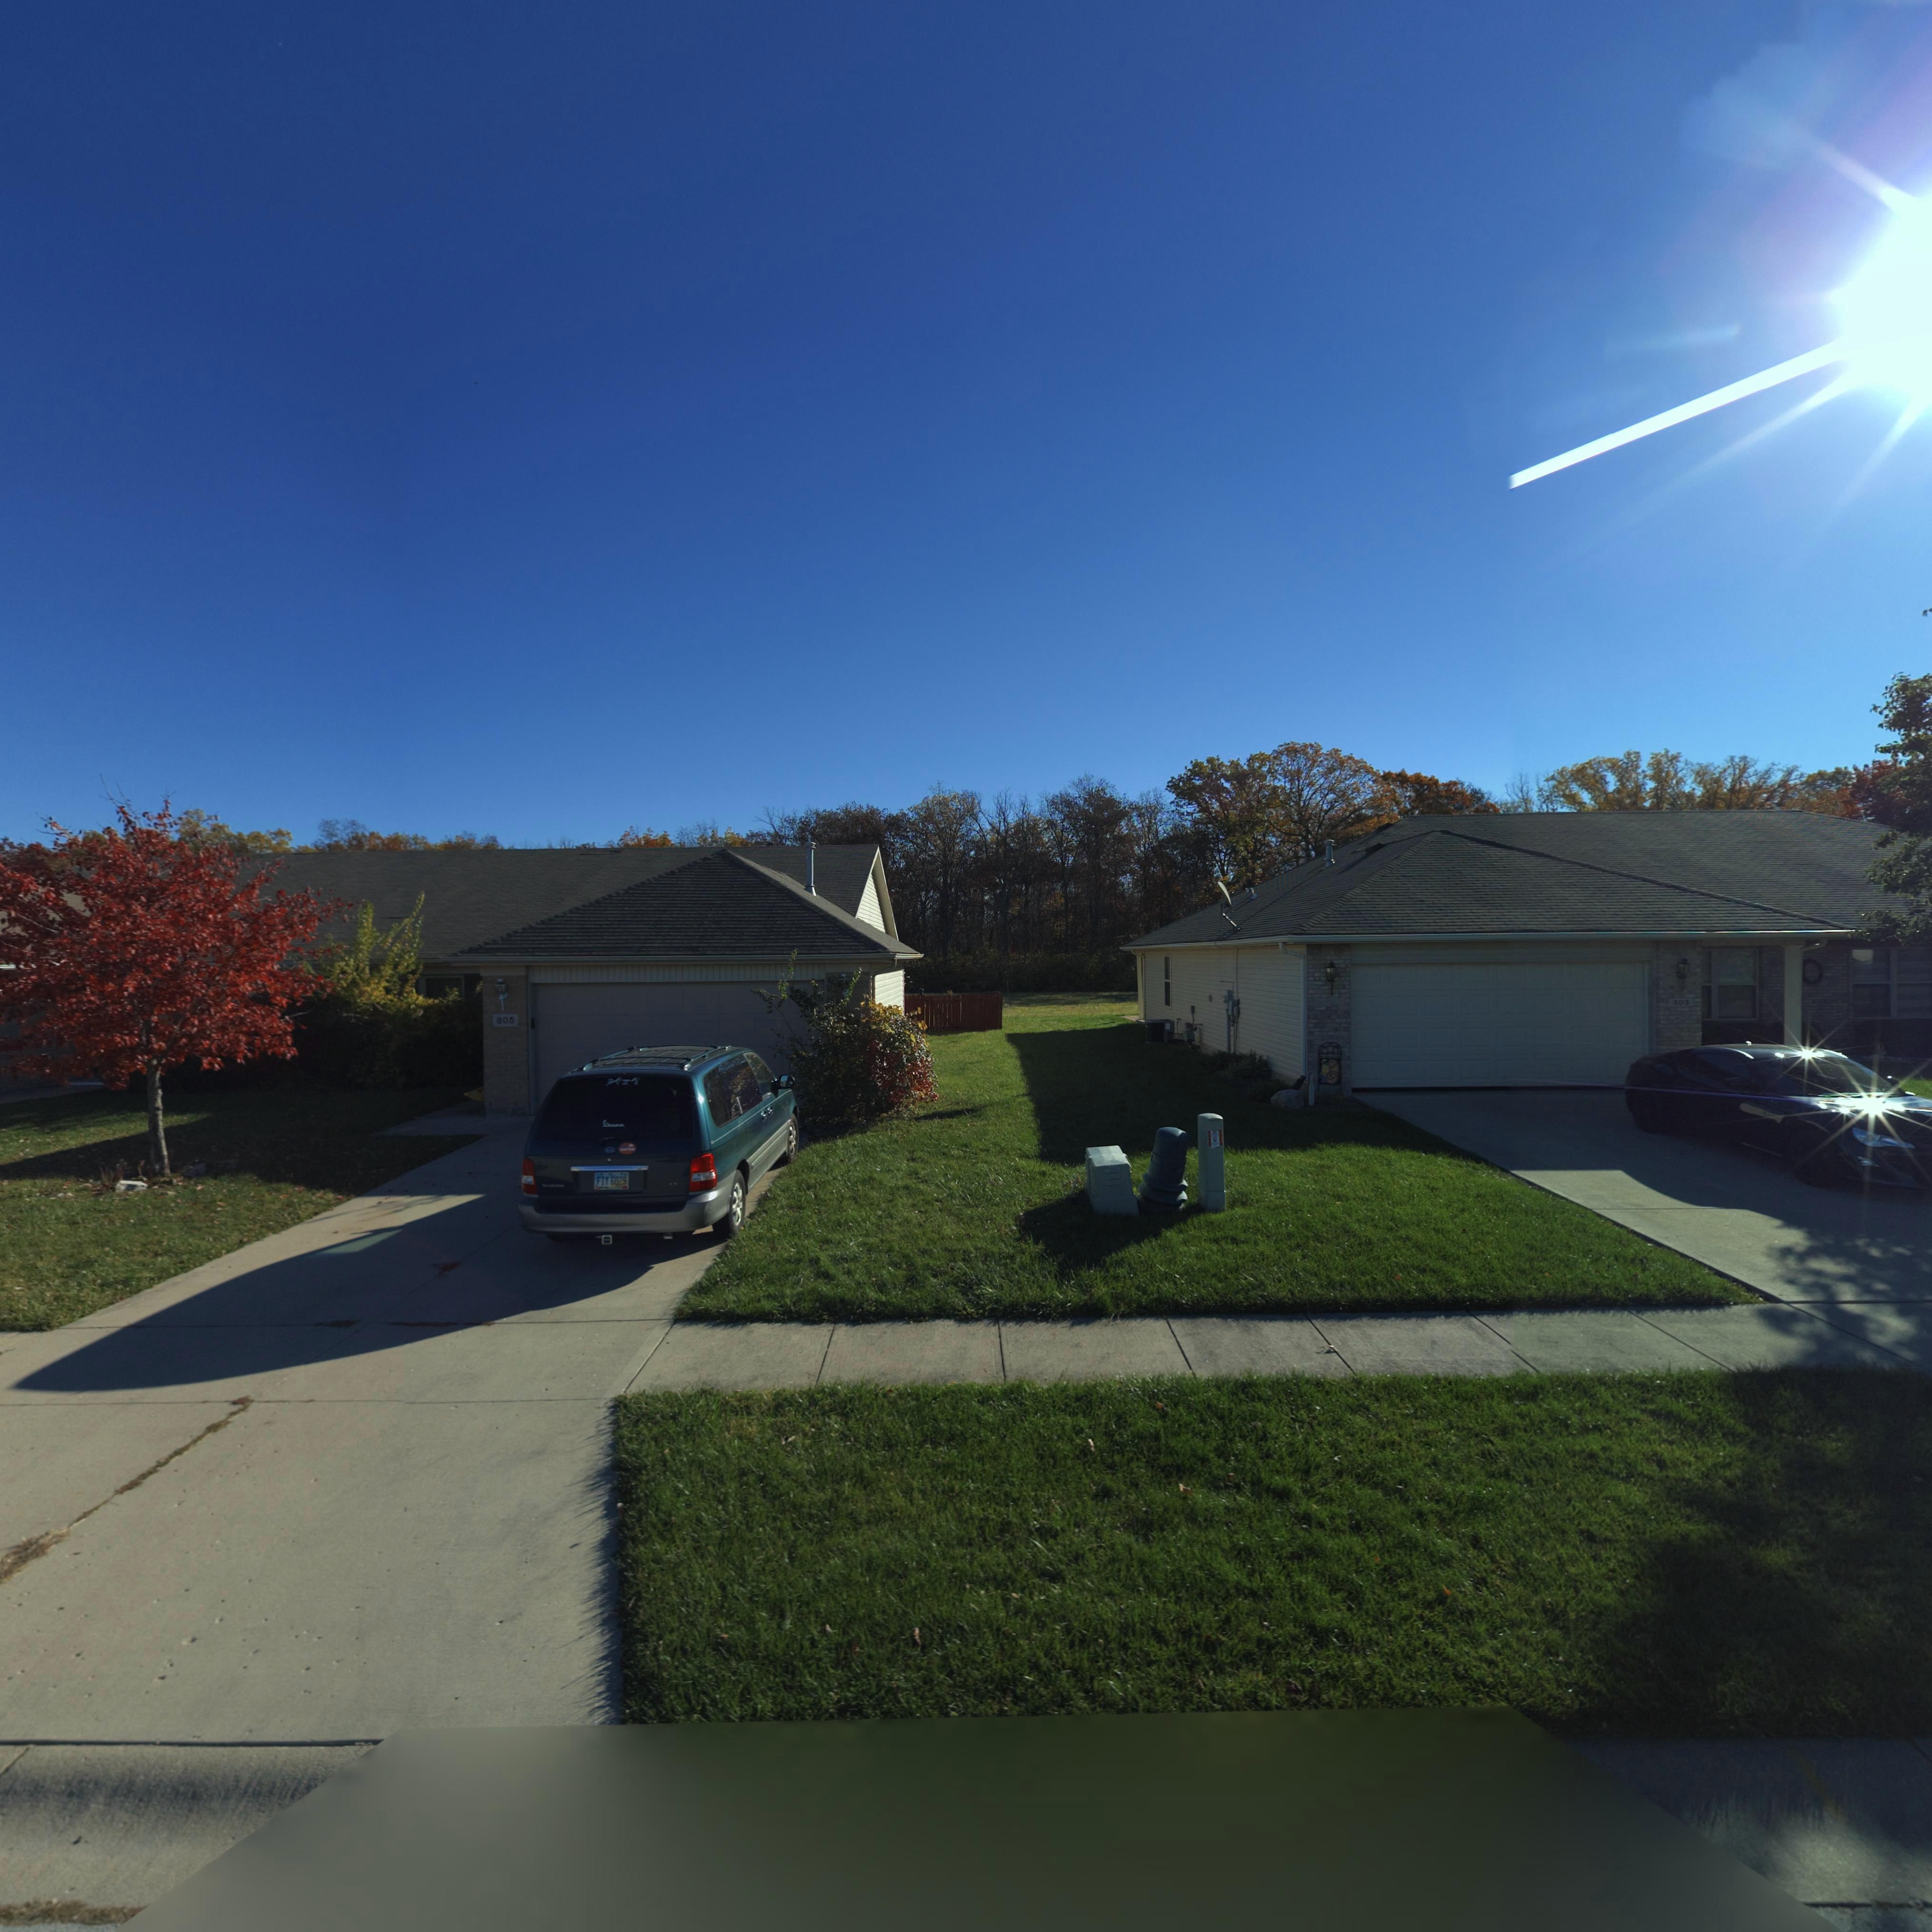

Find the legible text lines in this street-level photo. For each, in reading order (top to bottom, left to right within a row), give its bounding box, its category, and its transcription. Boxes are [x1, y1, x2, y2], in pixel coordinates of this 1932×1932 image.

[1672, 998, 1690, 1007] StreetNumber: 203
[495, 1015, 515, 1024] StreetNumber: 205